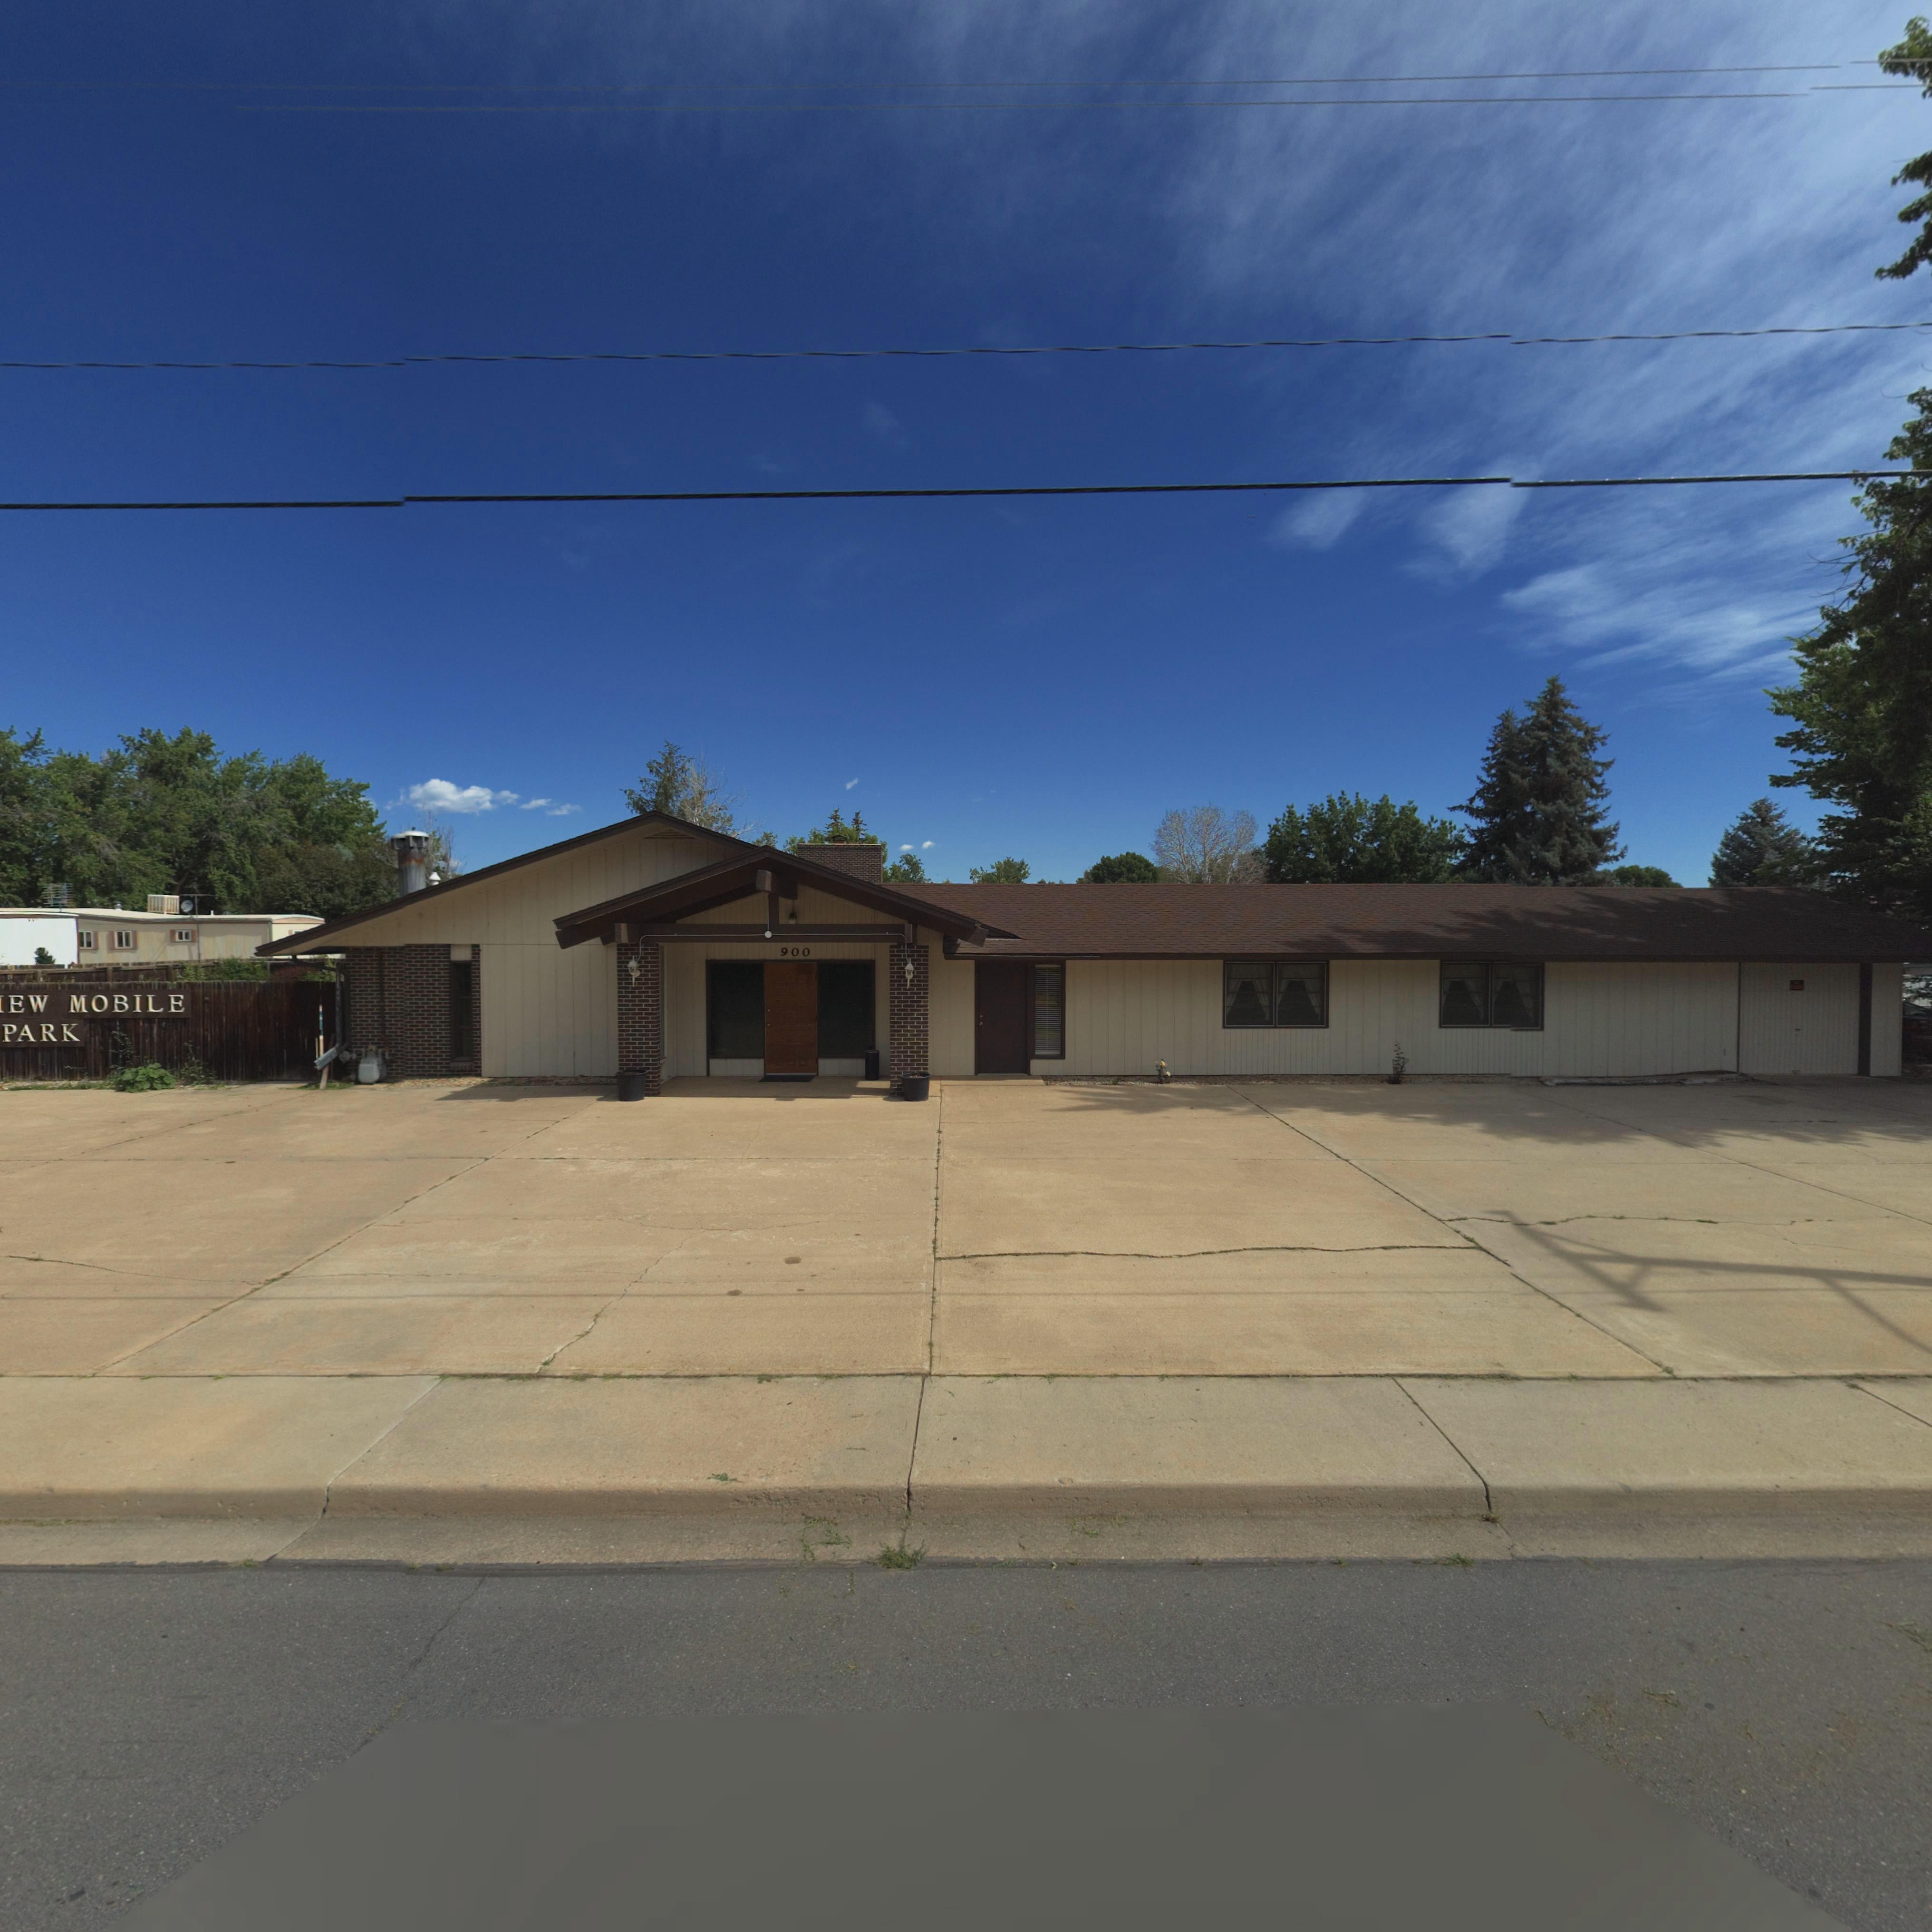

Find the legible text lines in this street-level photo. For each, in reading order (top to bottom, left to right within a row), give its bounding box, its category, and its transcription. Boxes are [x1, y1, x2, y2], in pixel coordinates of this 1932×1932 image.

[780, 947, 811, 957] StreetNumber: 900
[7, 994, 185, 1014] BusinessName: EW MOBILE
[1, 1023, 81, 1043] BusinessName: PARK